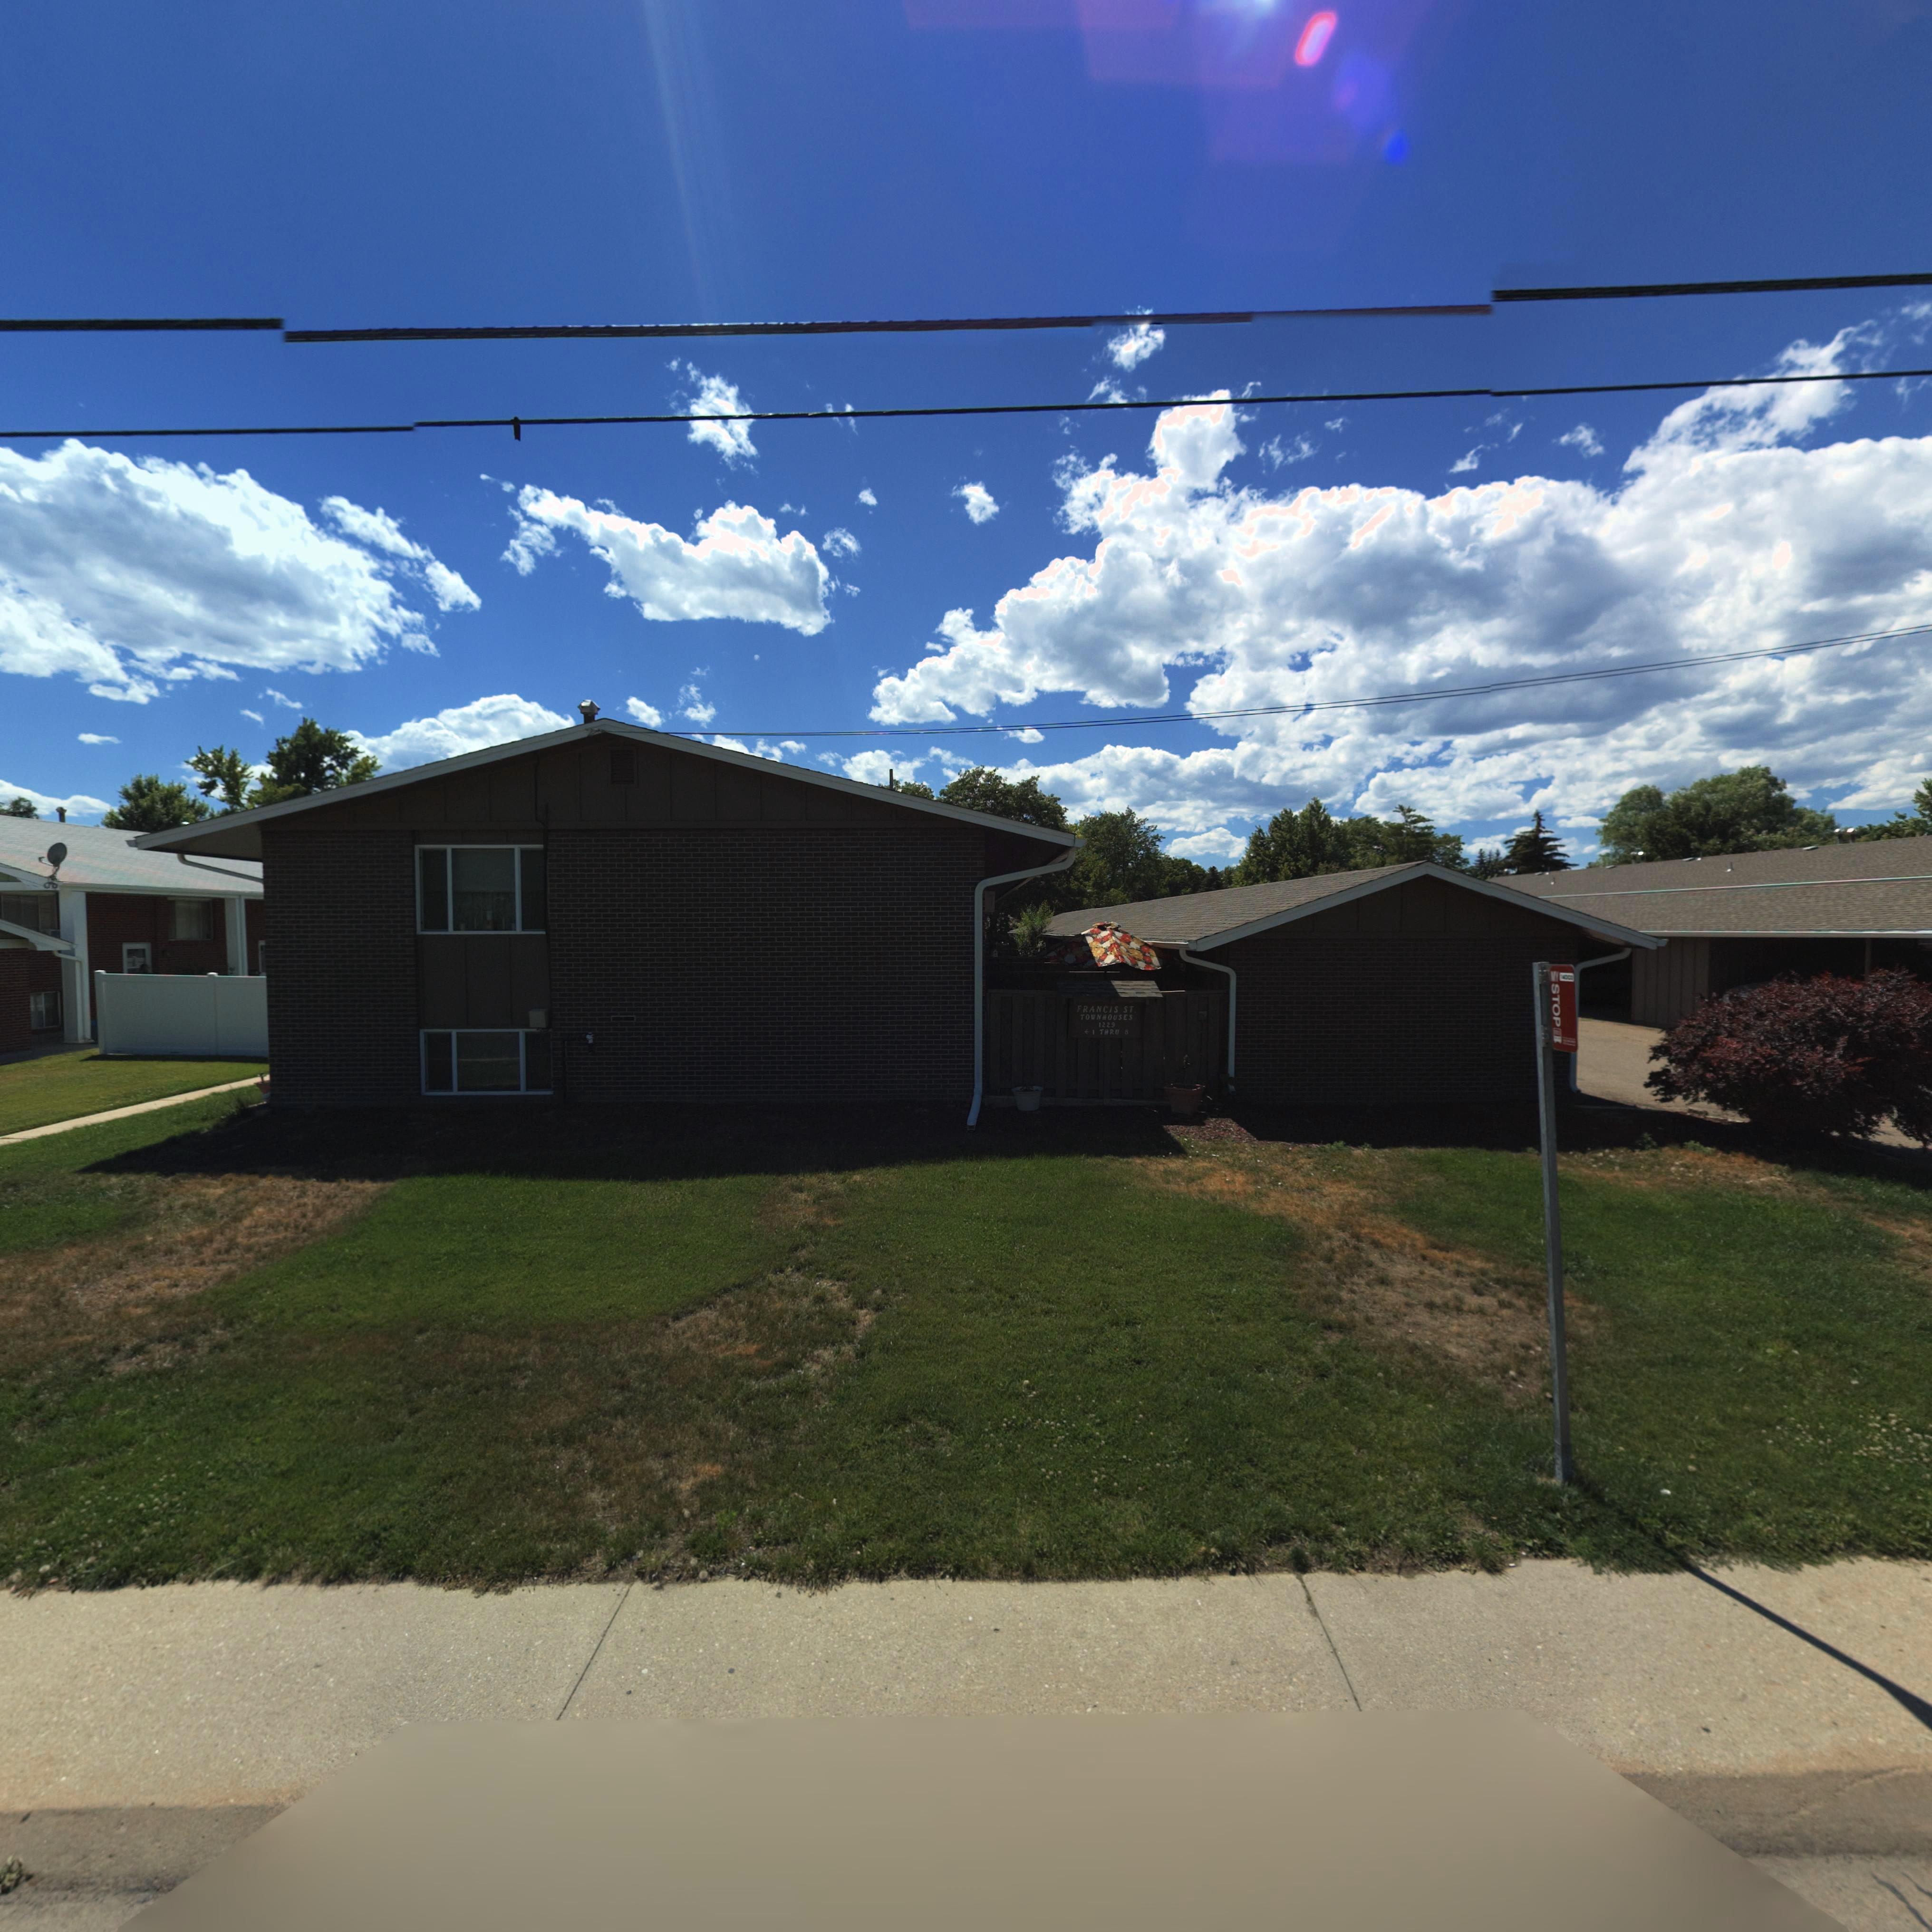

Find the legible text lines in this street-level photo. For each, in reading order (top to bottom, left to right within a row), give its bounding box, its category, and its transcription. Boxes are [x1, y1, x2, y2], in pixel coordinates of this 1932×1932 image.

[1076, 1005, 1135, 1013] BusinessName: FRANCIS ST
[1080, 1014, 1133, 1020] BusinessName: TOWNHOUSES
[1098, 1022, 1115, 1027] StreetNumber: 1229